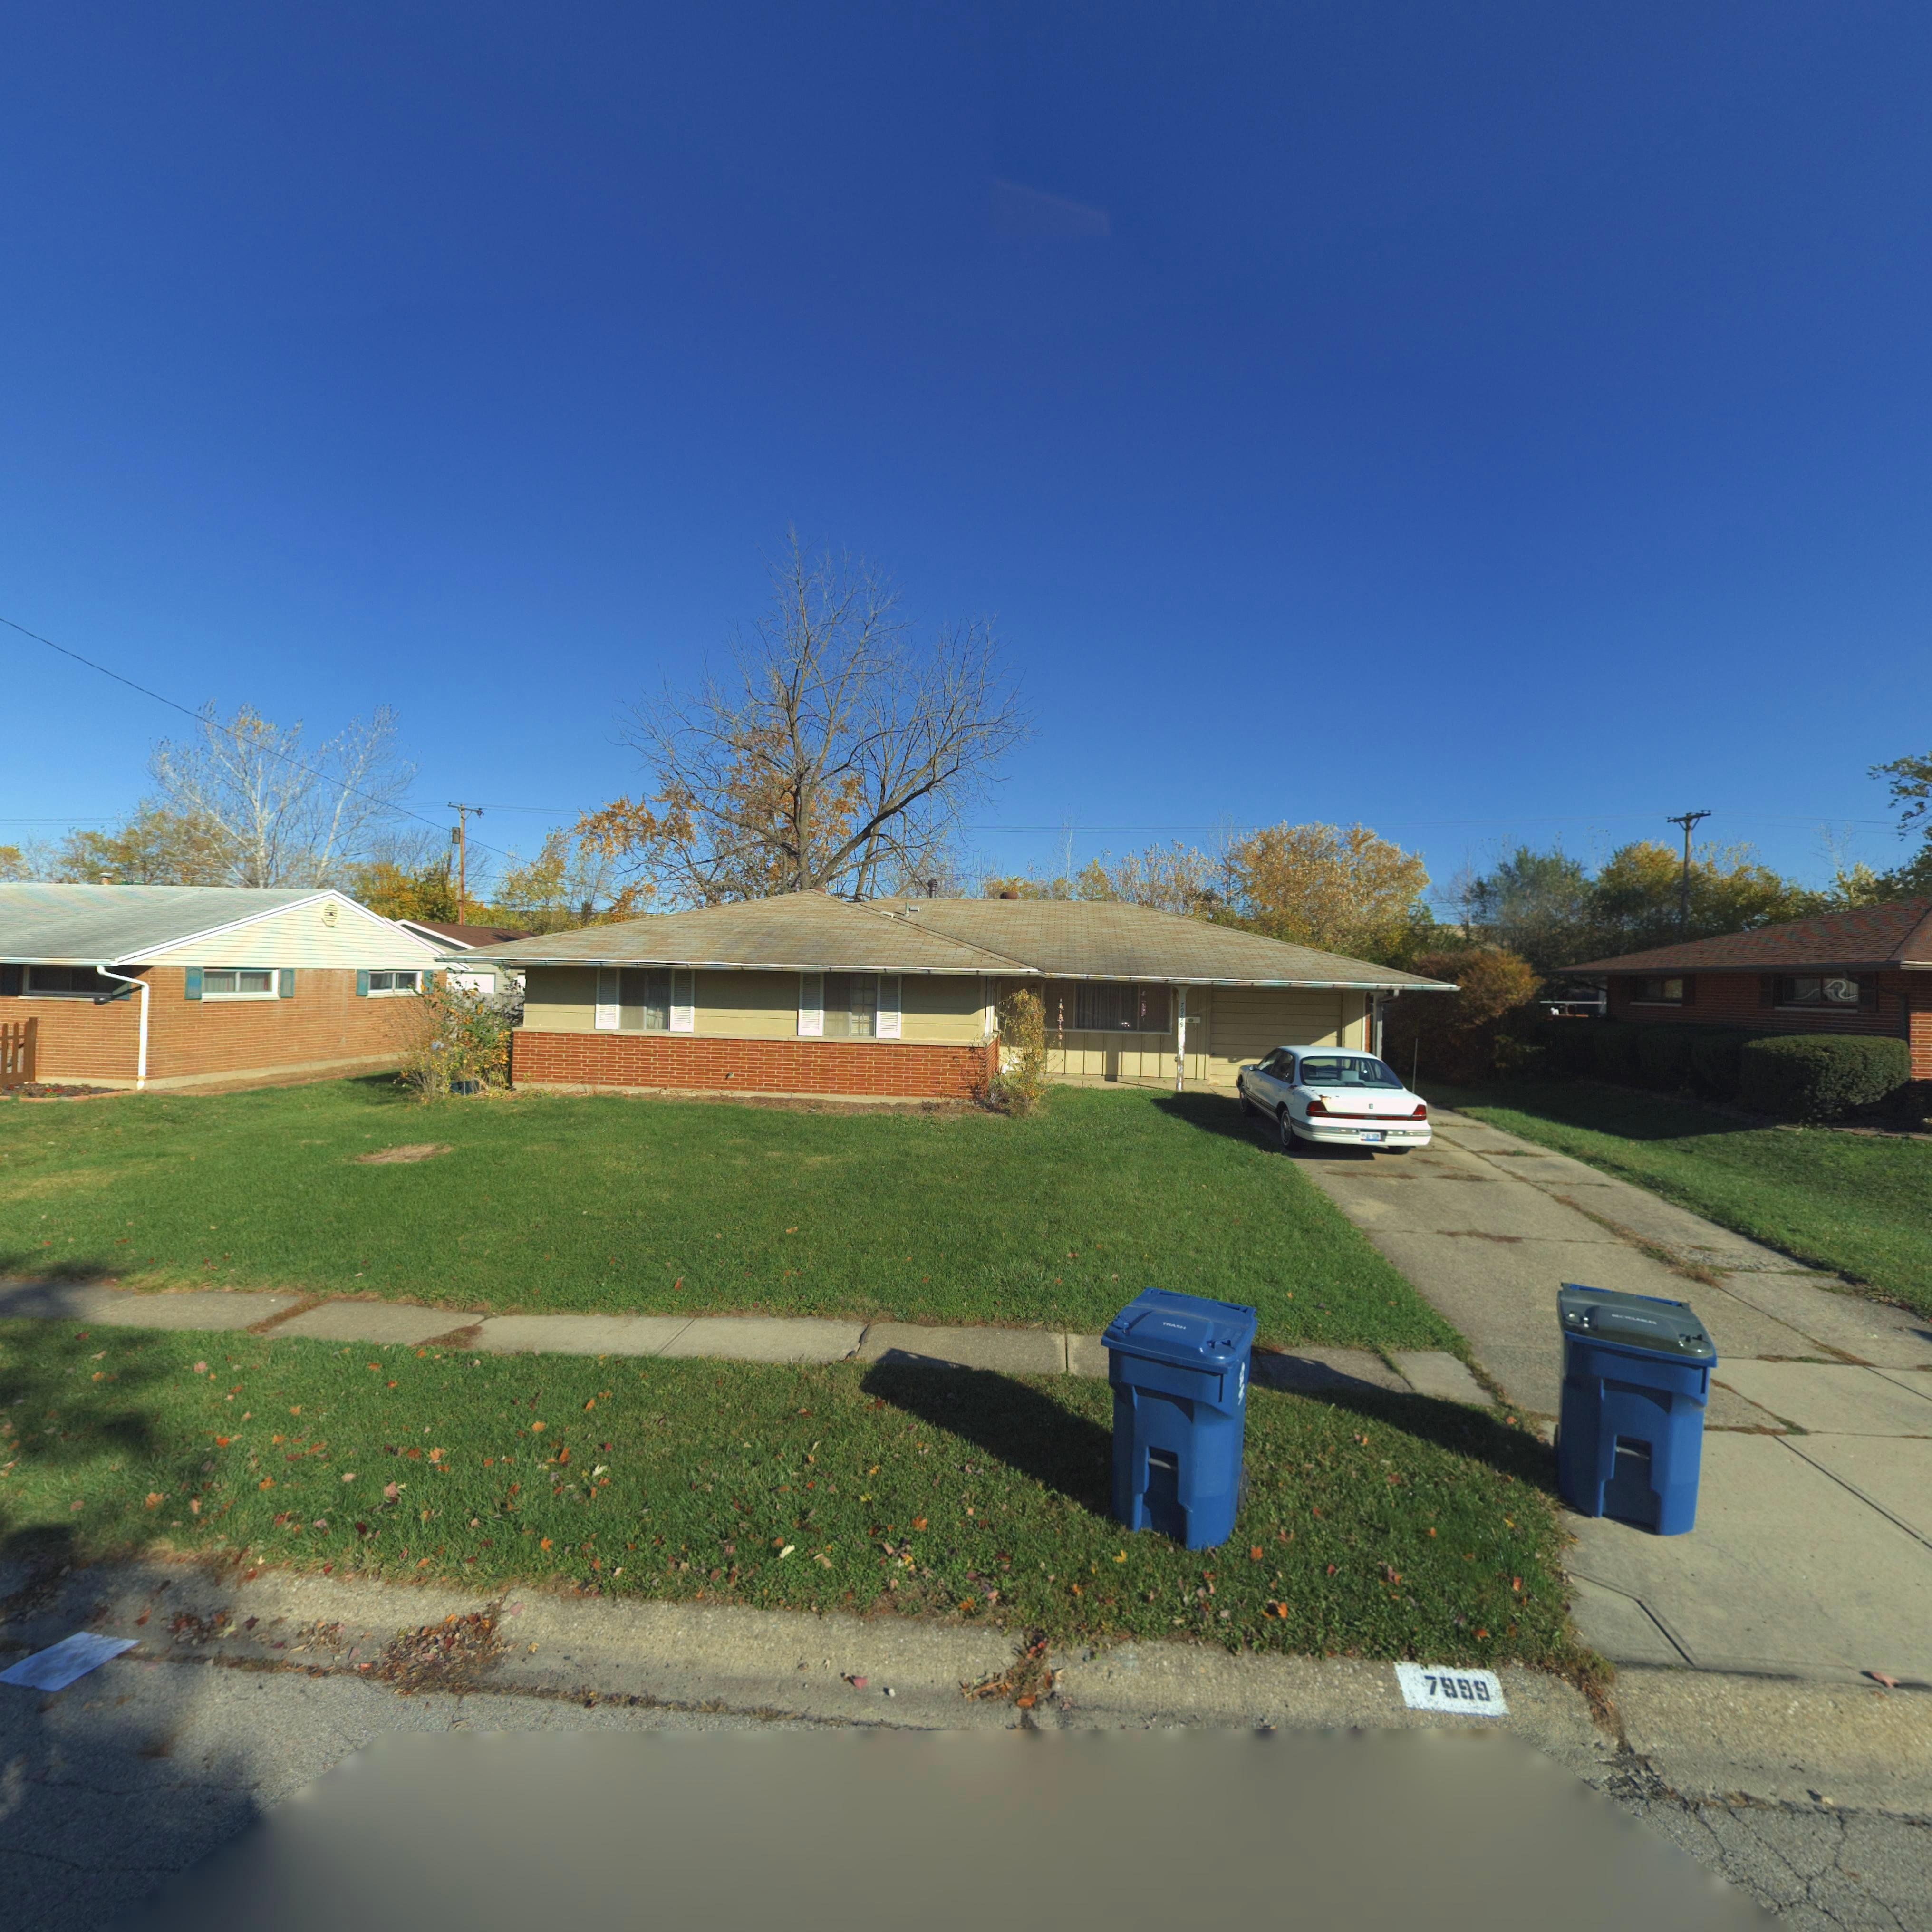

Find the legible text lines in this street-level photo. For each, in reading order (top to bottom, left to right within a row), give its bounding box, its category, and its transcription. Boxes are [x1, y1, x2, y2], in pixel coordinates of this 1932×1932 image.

[1179, 1001, 1185, 1028] StreetNumber: 7999
[1422, 1674, 1493, 1704] StreetNumber: 7999